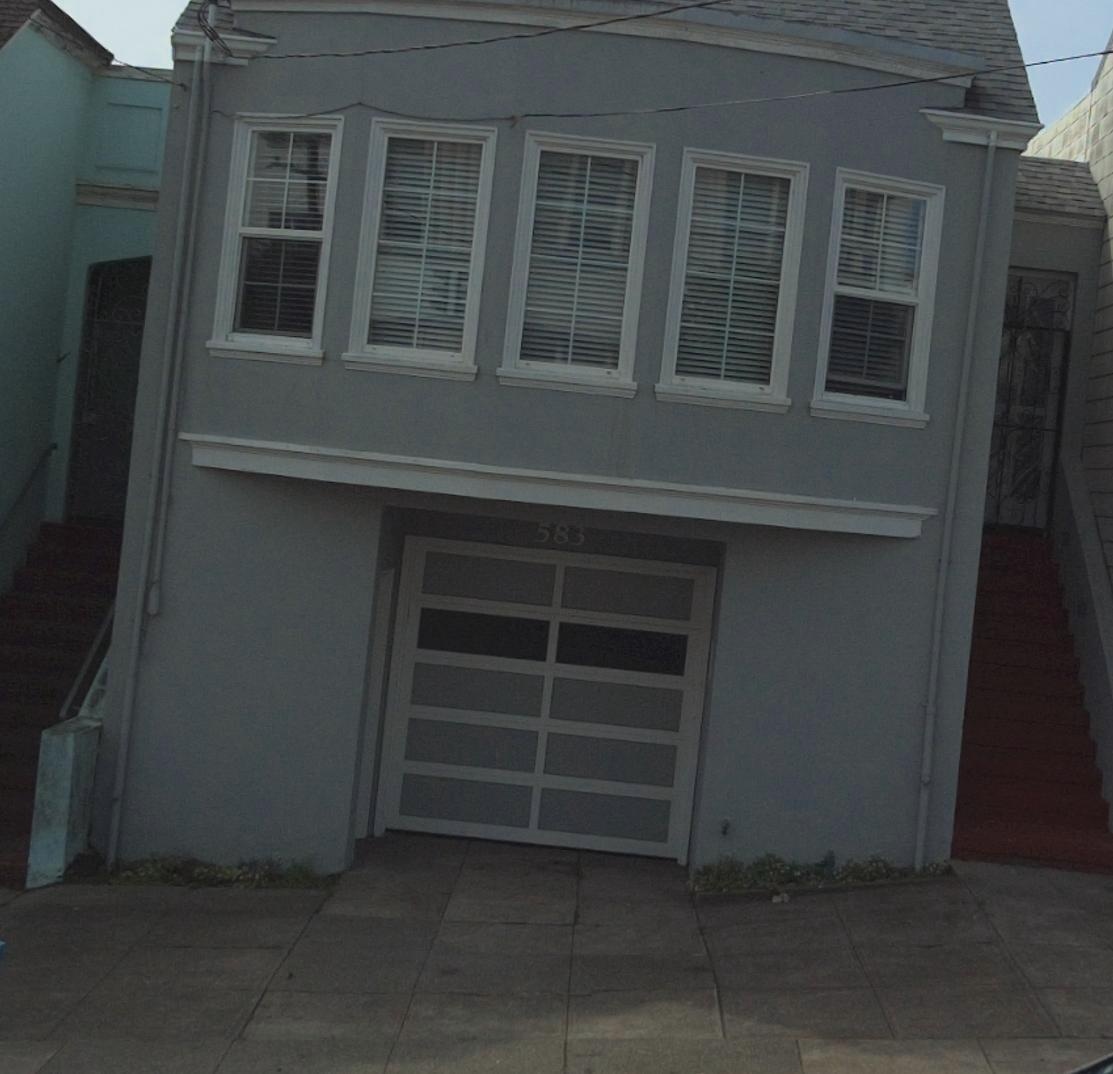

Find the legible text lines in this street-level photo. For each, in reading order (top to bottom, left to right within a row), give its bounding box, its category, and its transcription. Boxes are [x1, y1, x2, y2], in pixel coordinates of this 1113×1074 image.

[533, 520, 587, 548] StreetNumber: 583